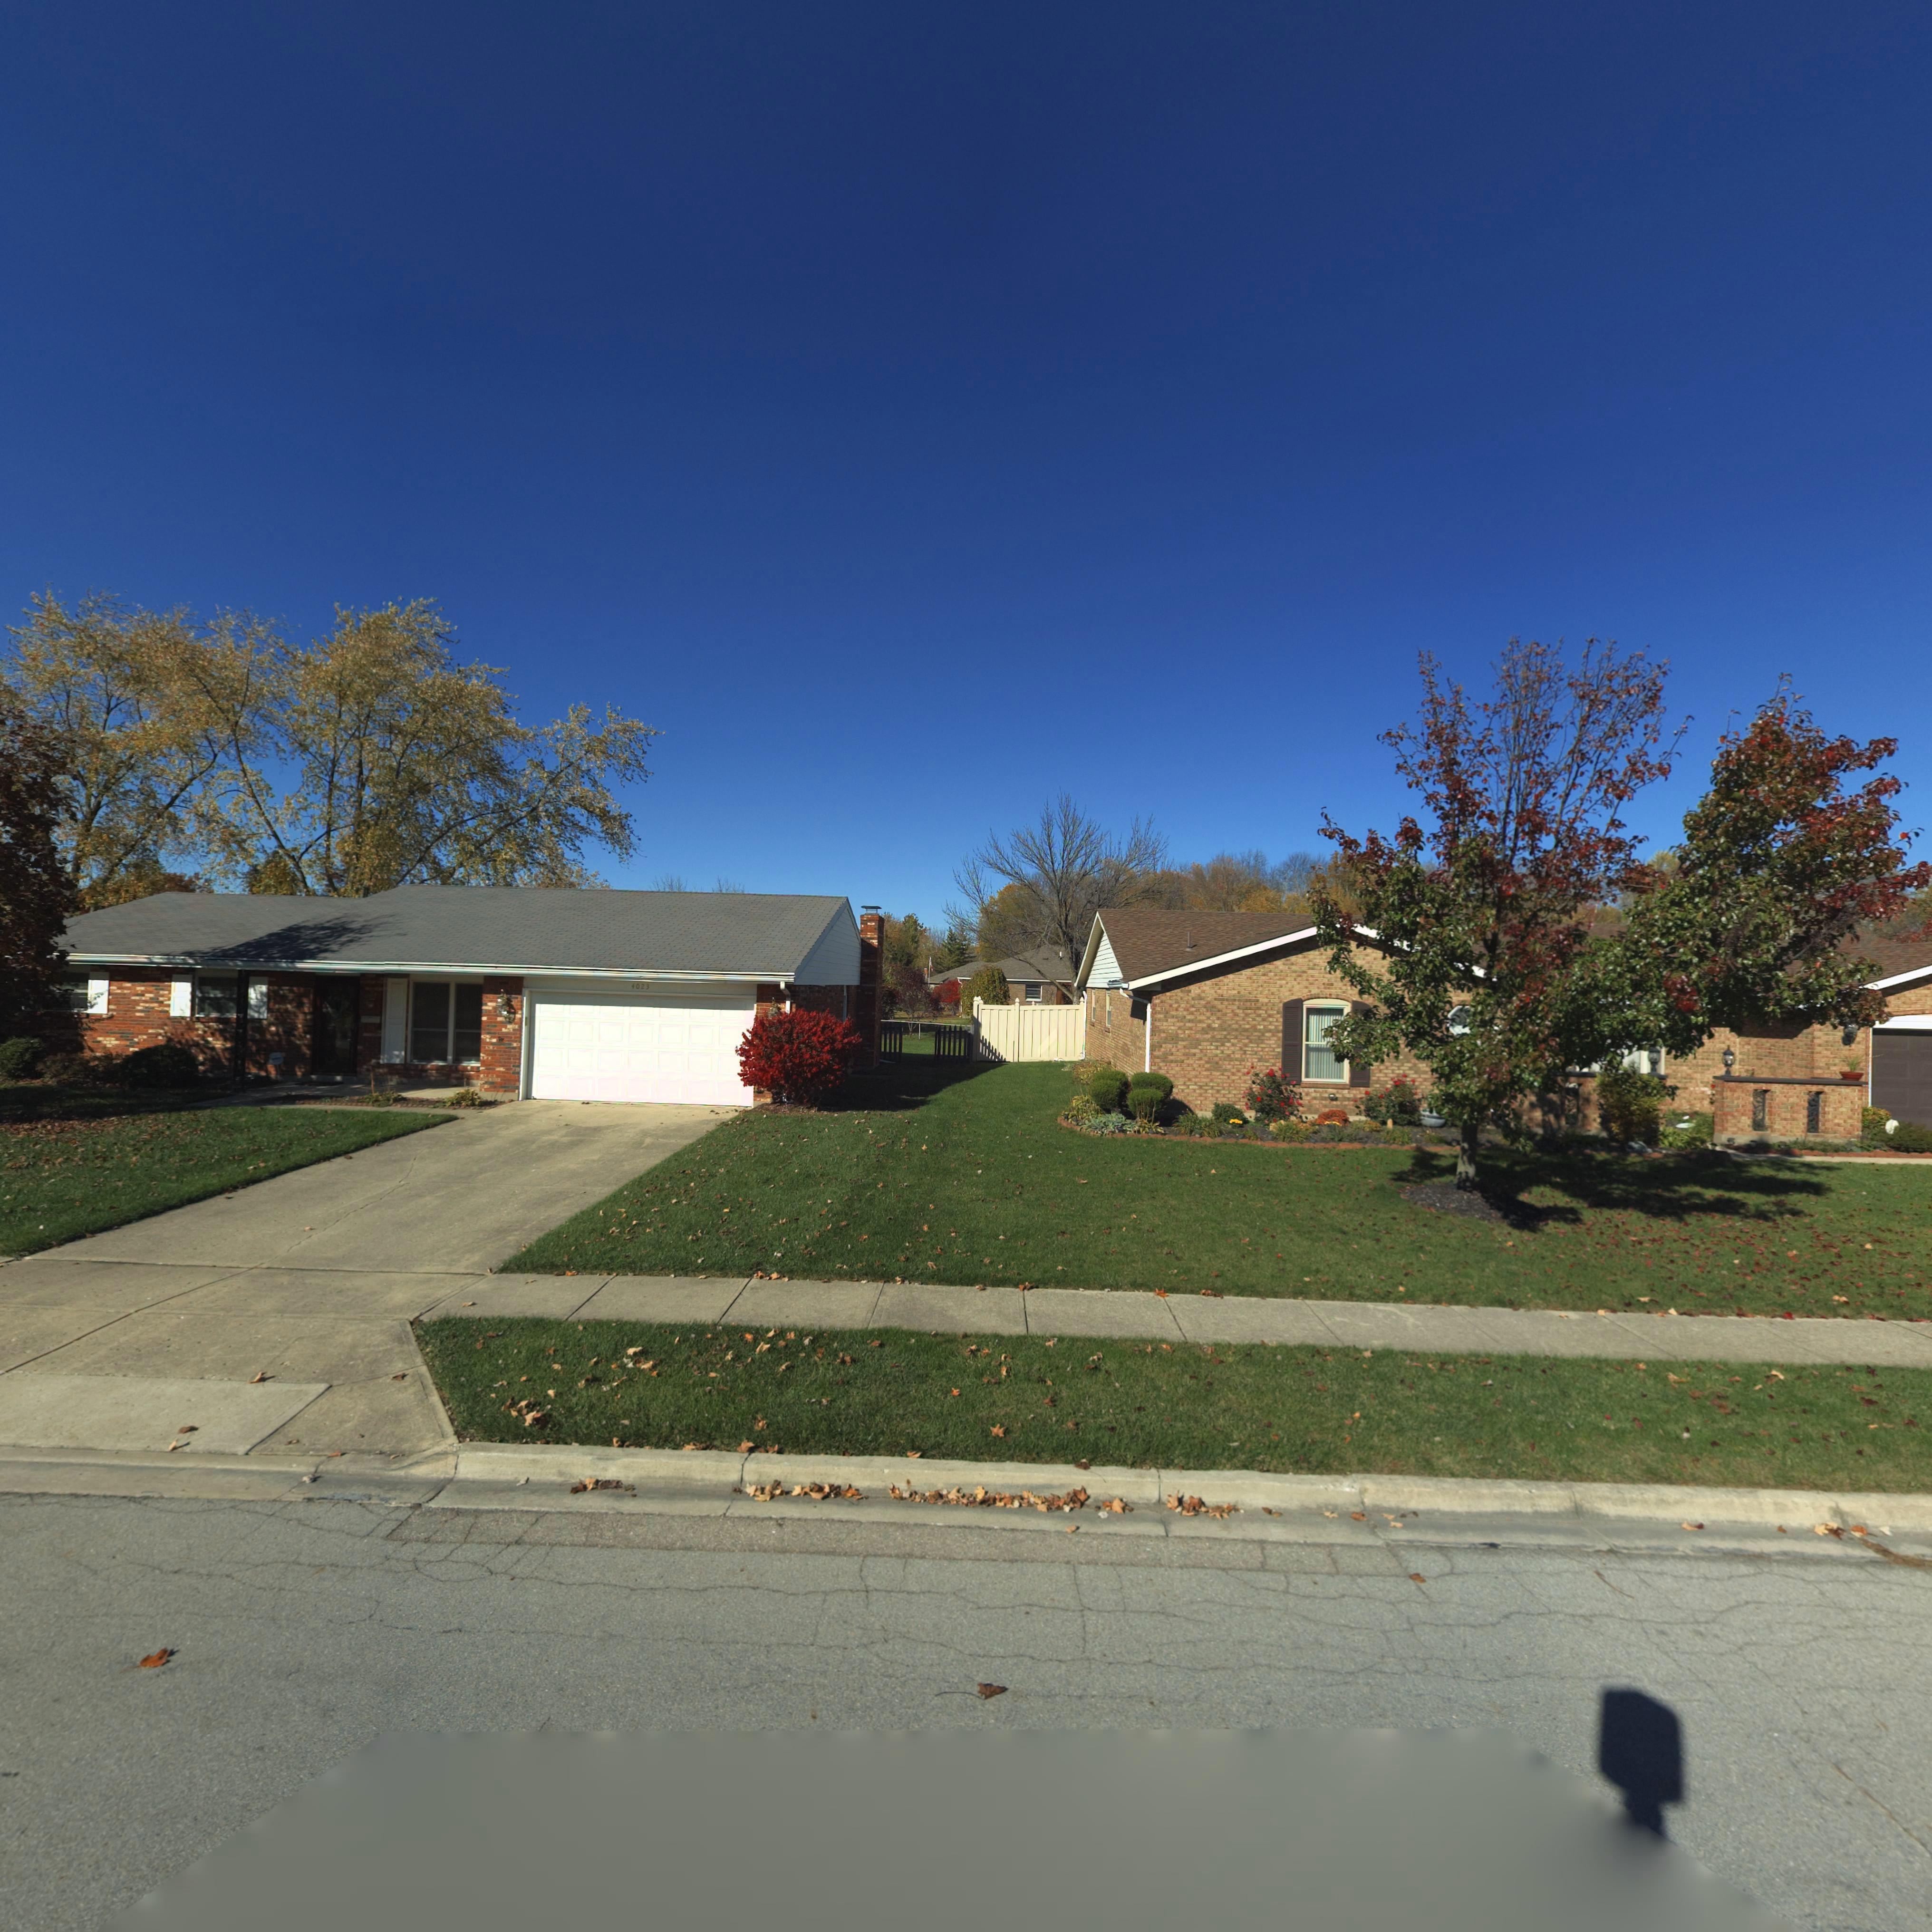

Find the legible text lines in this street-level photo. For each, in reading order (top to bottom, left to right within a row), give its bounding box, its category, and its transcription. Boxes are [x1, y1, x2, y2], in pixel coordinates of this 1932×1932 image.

[631, 983, 649, 990] StreetNumber: 4023